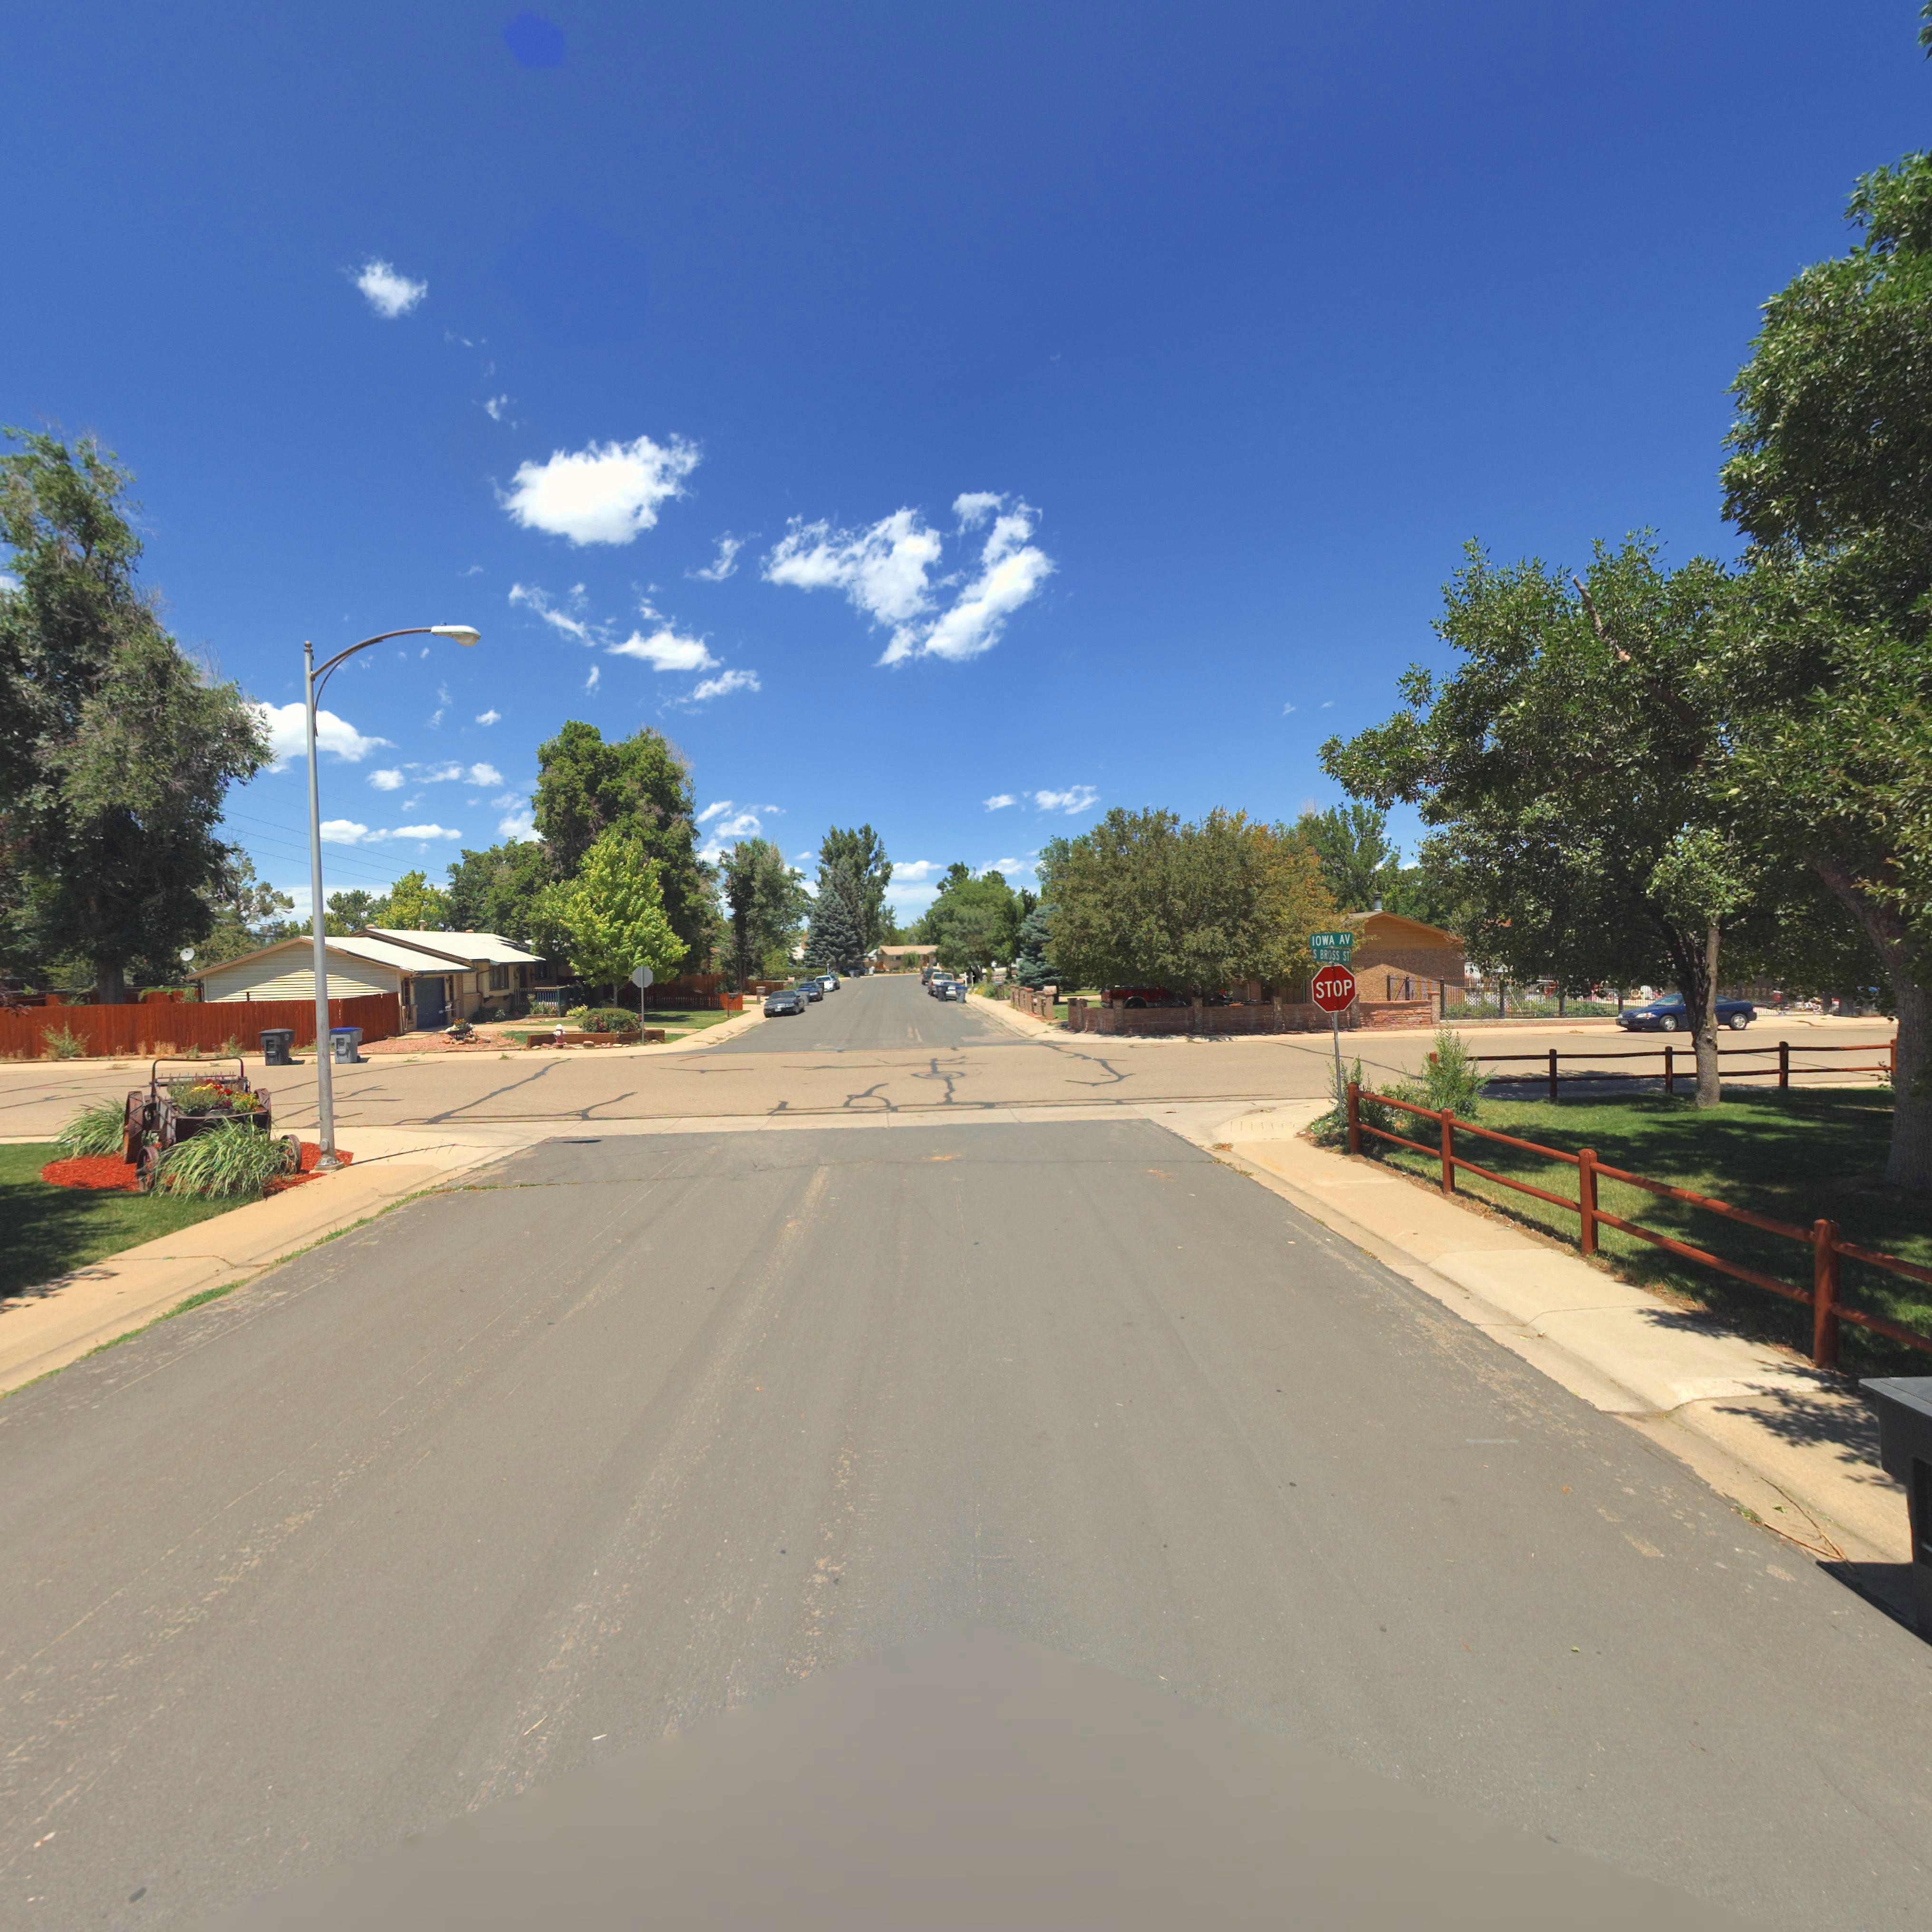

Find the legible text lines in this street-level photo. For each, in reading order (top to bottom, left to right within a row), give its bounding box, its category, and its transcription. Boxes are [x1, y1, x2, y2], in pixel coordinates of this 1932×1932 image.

[1312, 934, 1351, 947] StreetName: IOWA ST
[1312, 948, 1350, 961] StreetName: S BROSS ST